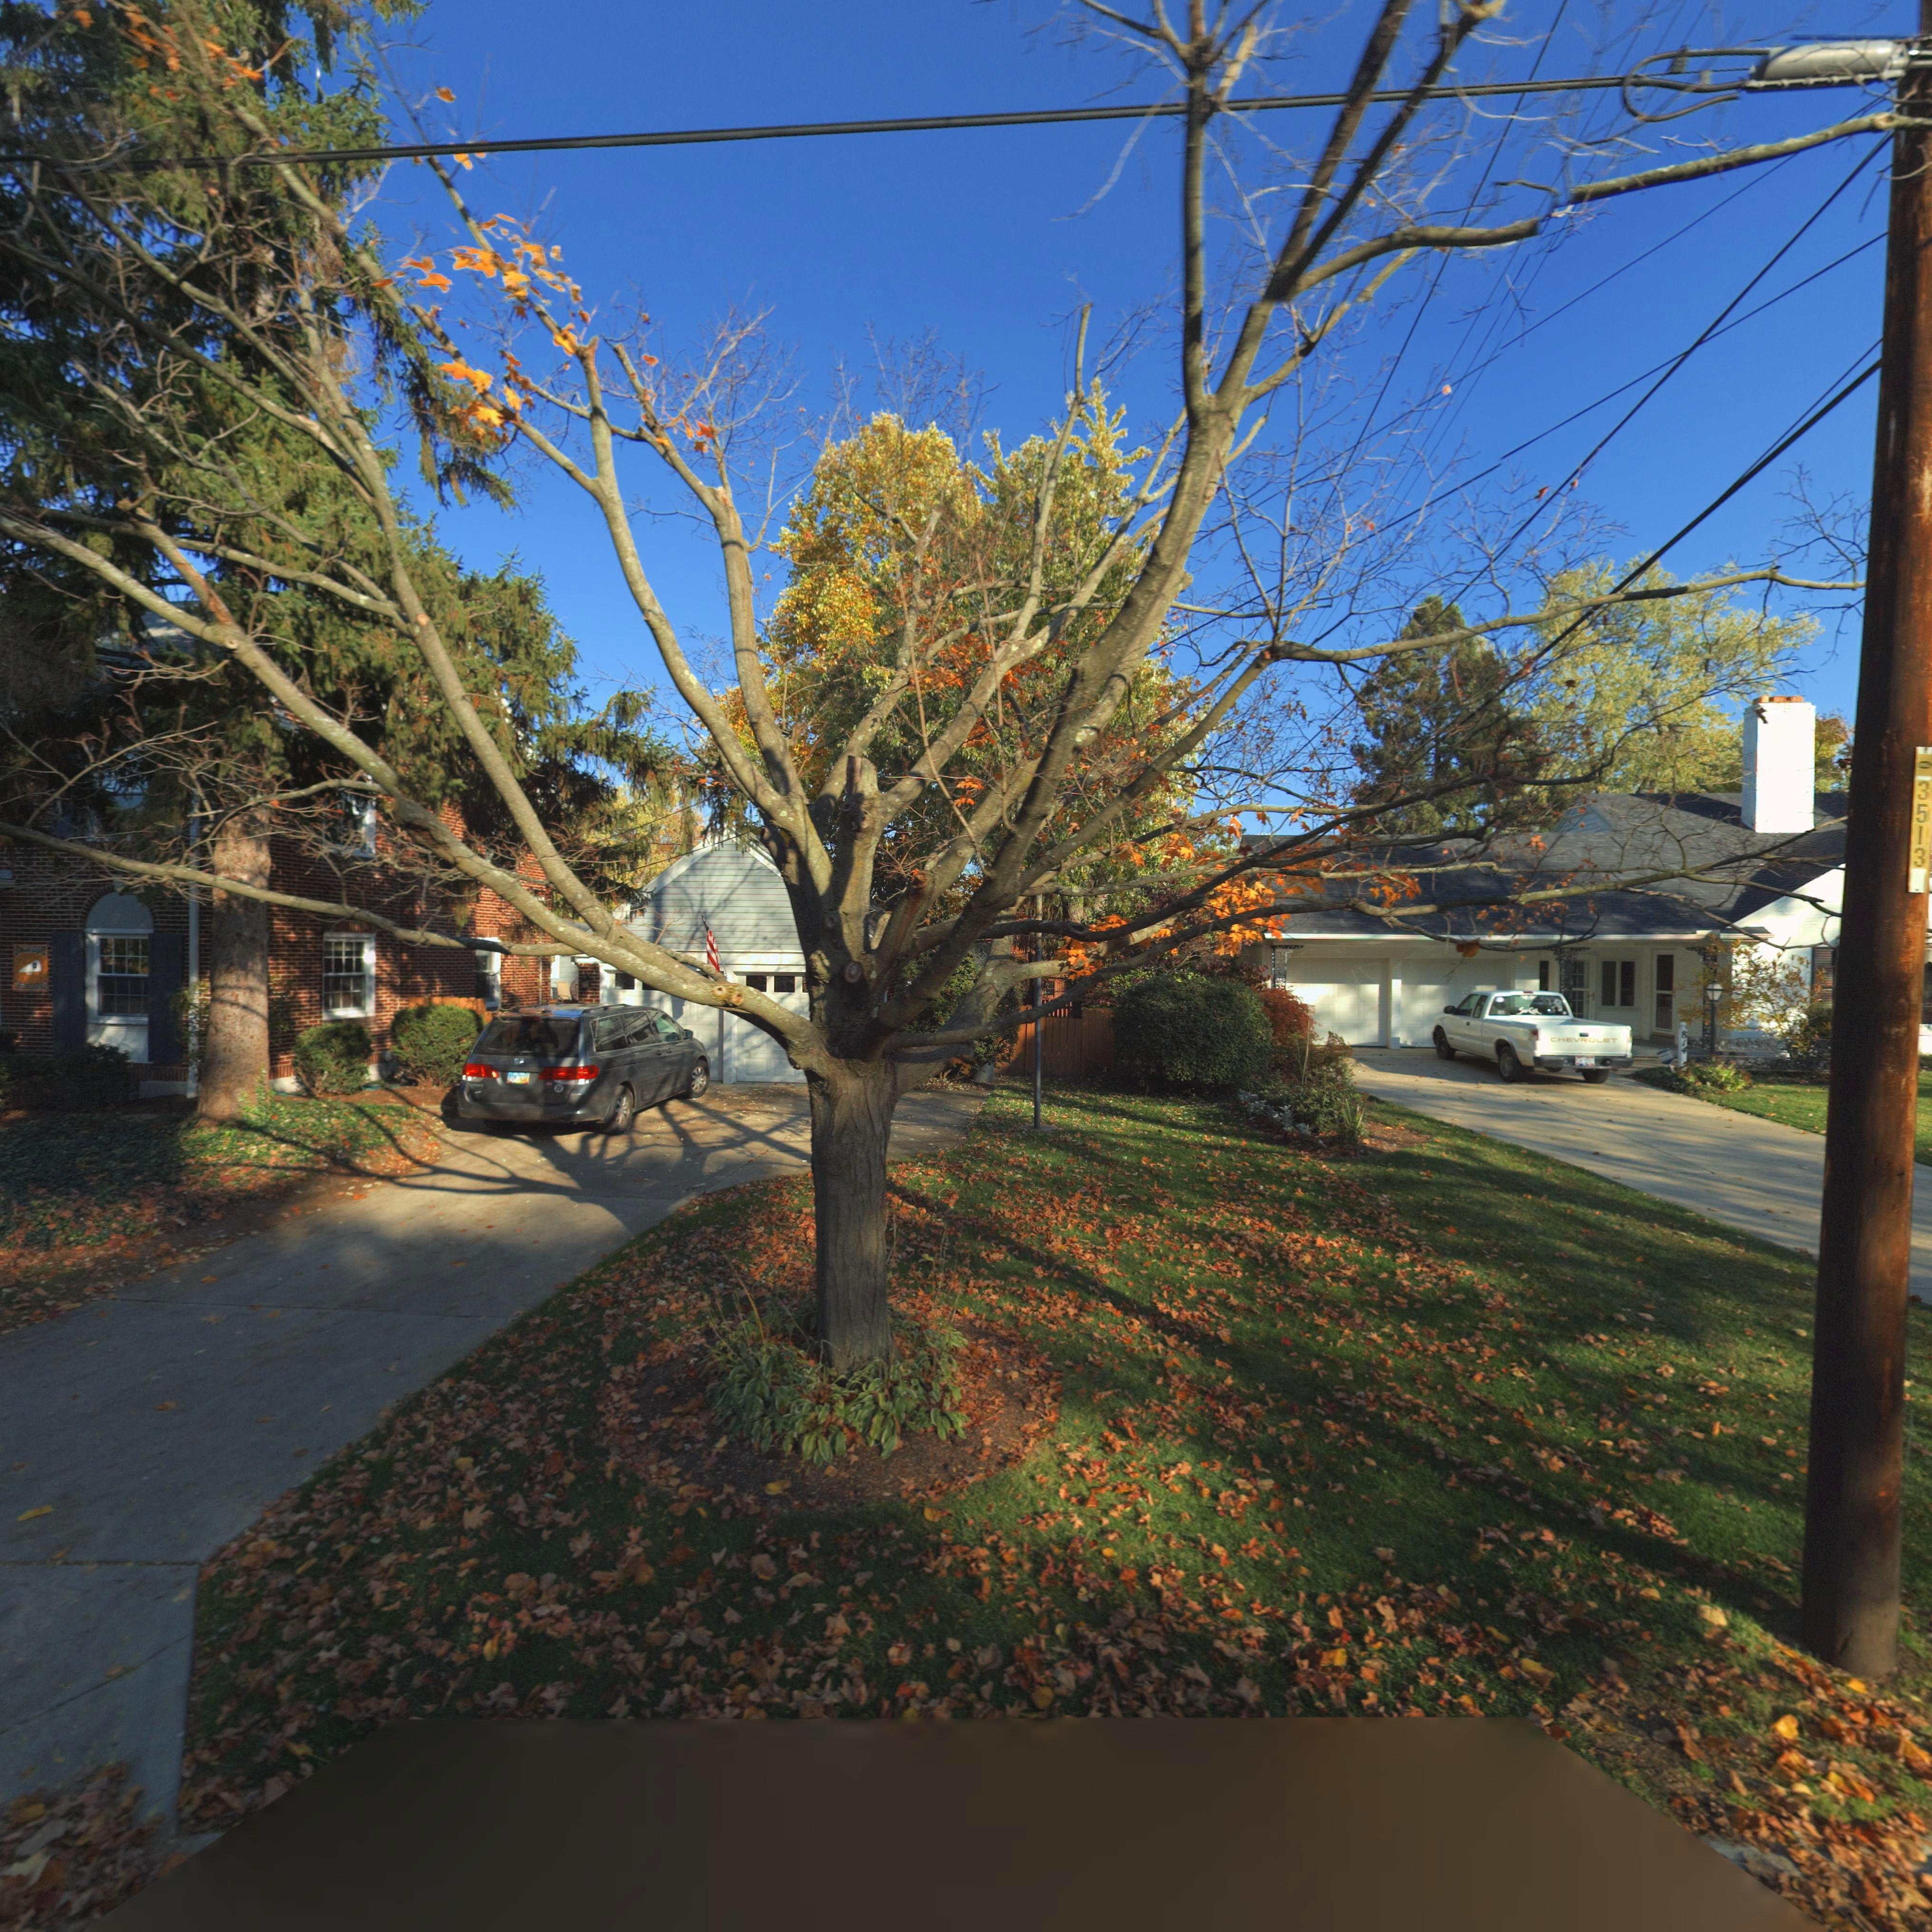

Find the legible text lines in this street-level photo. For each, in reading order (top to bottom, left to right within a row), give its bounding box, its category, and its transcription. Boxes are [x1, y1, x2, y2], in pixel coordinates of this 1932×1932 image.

[1681, 1030, 1688, 1054] StreetNumber: 814